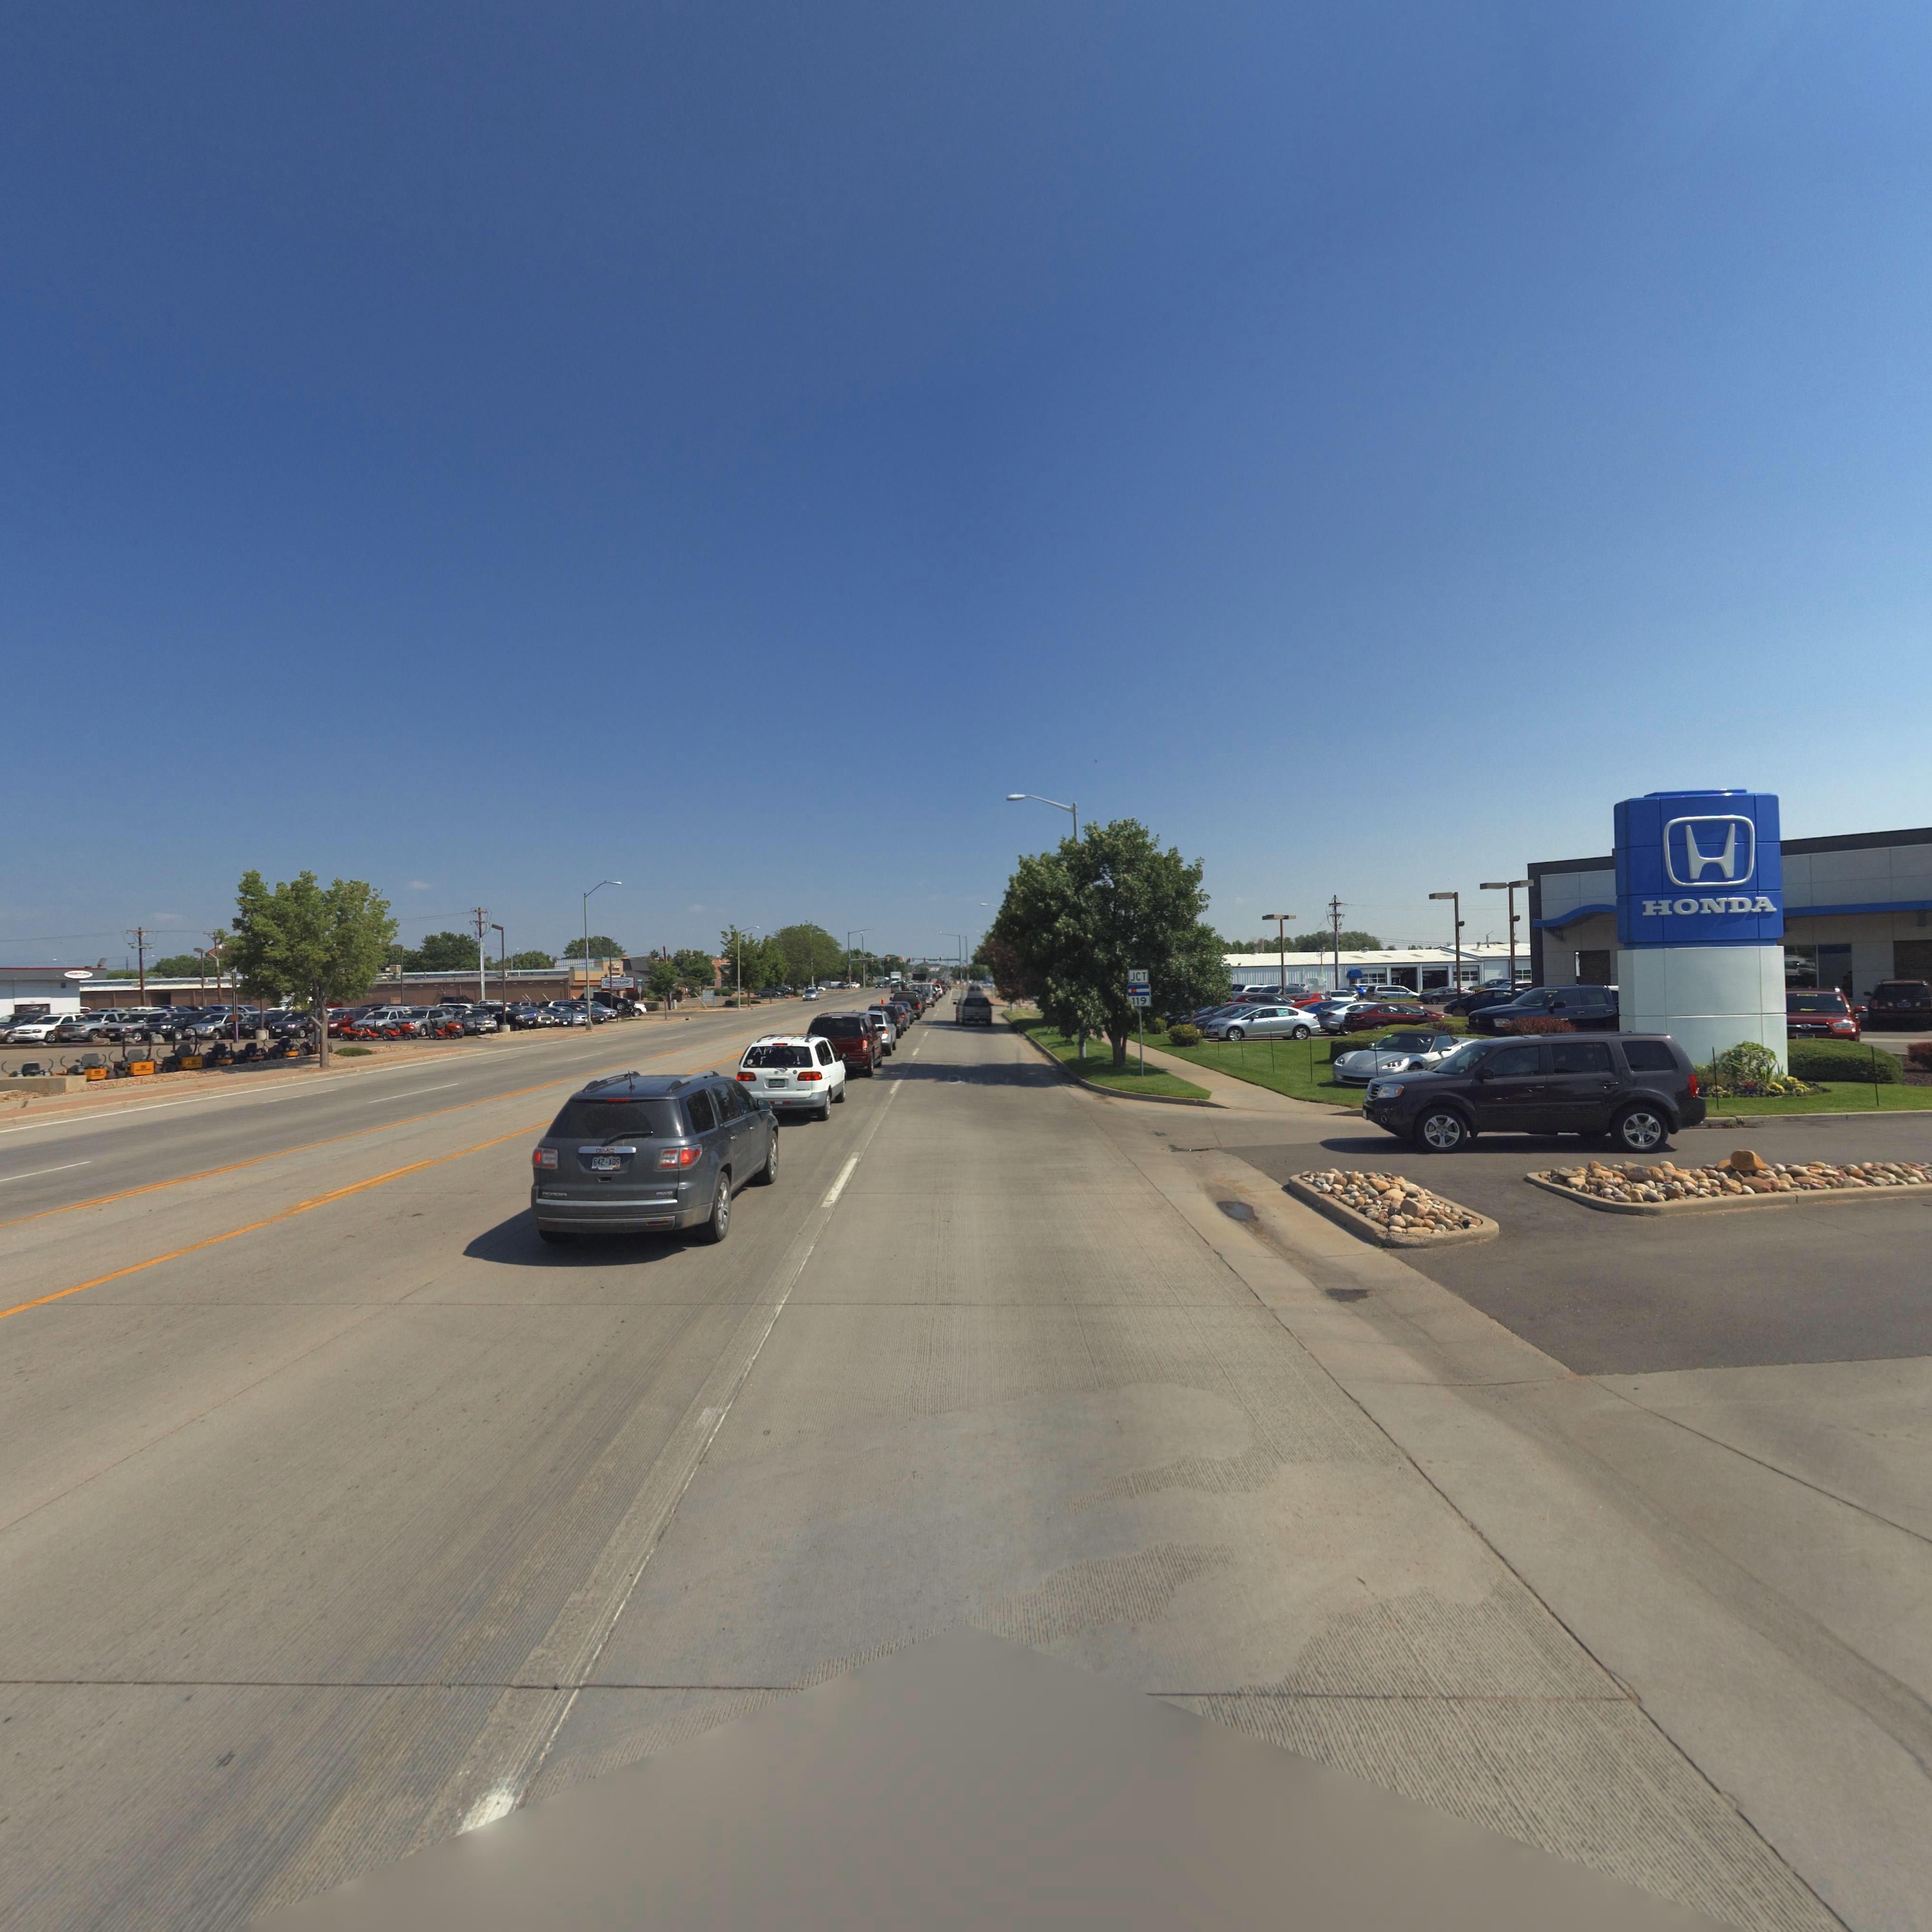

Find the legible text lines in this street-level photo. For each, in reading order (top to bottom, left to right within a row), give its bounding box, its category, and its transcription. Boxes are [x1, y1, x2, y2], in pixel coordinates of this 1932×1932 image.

[1641, 896, 1777, 916] BusinessName: HONDA
[605, 980, 630, 984] BusinessName: FR*NTLINE